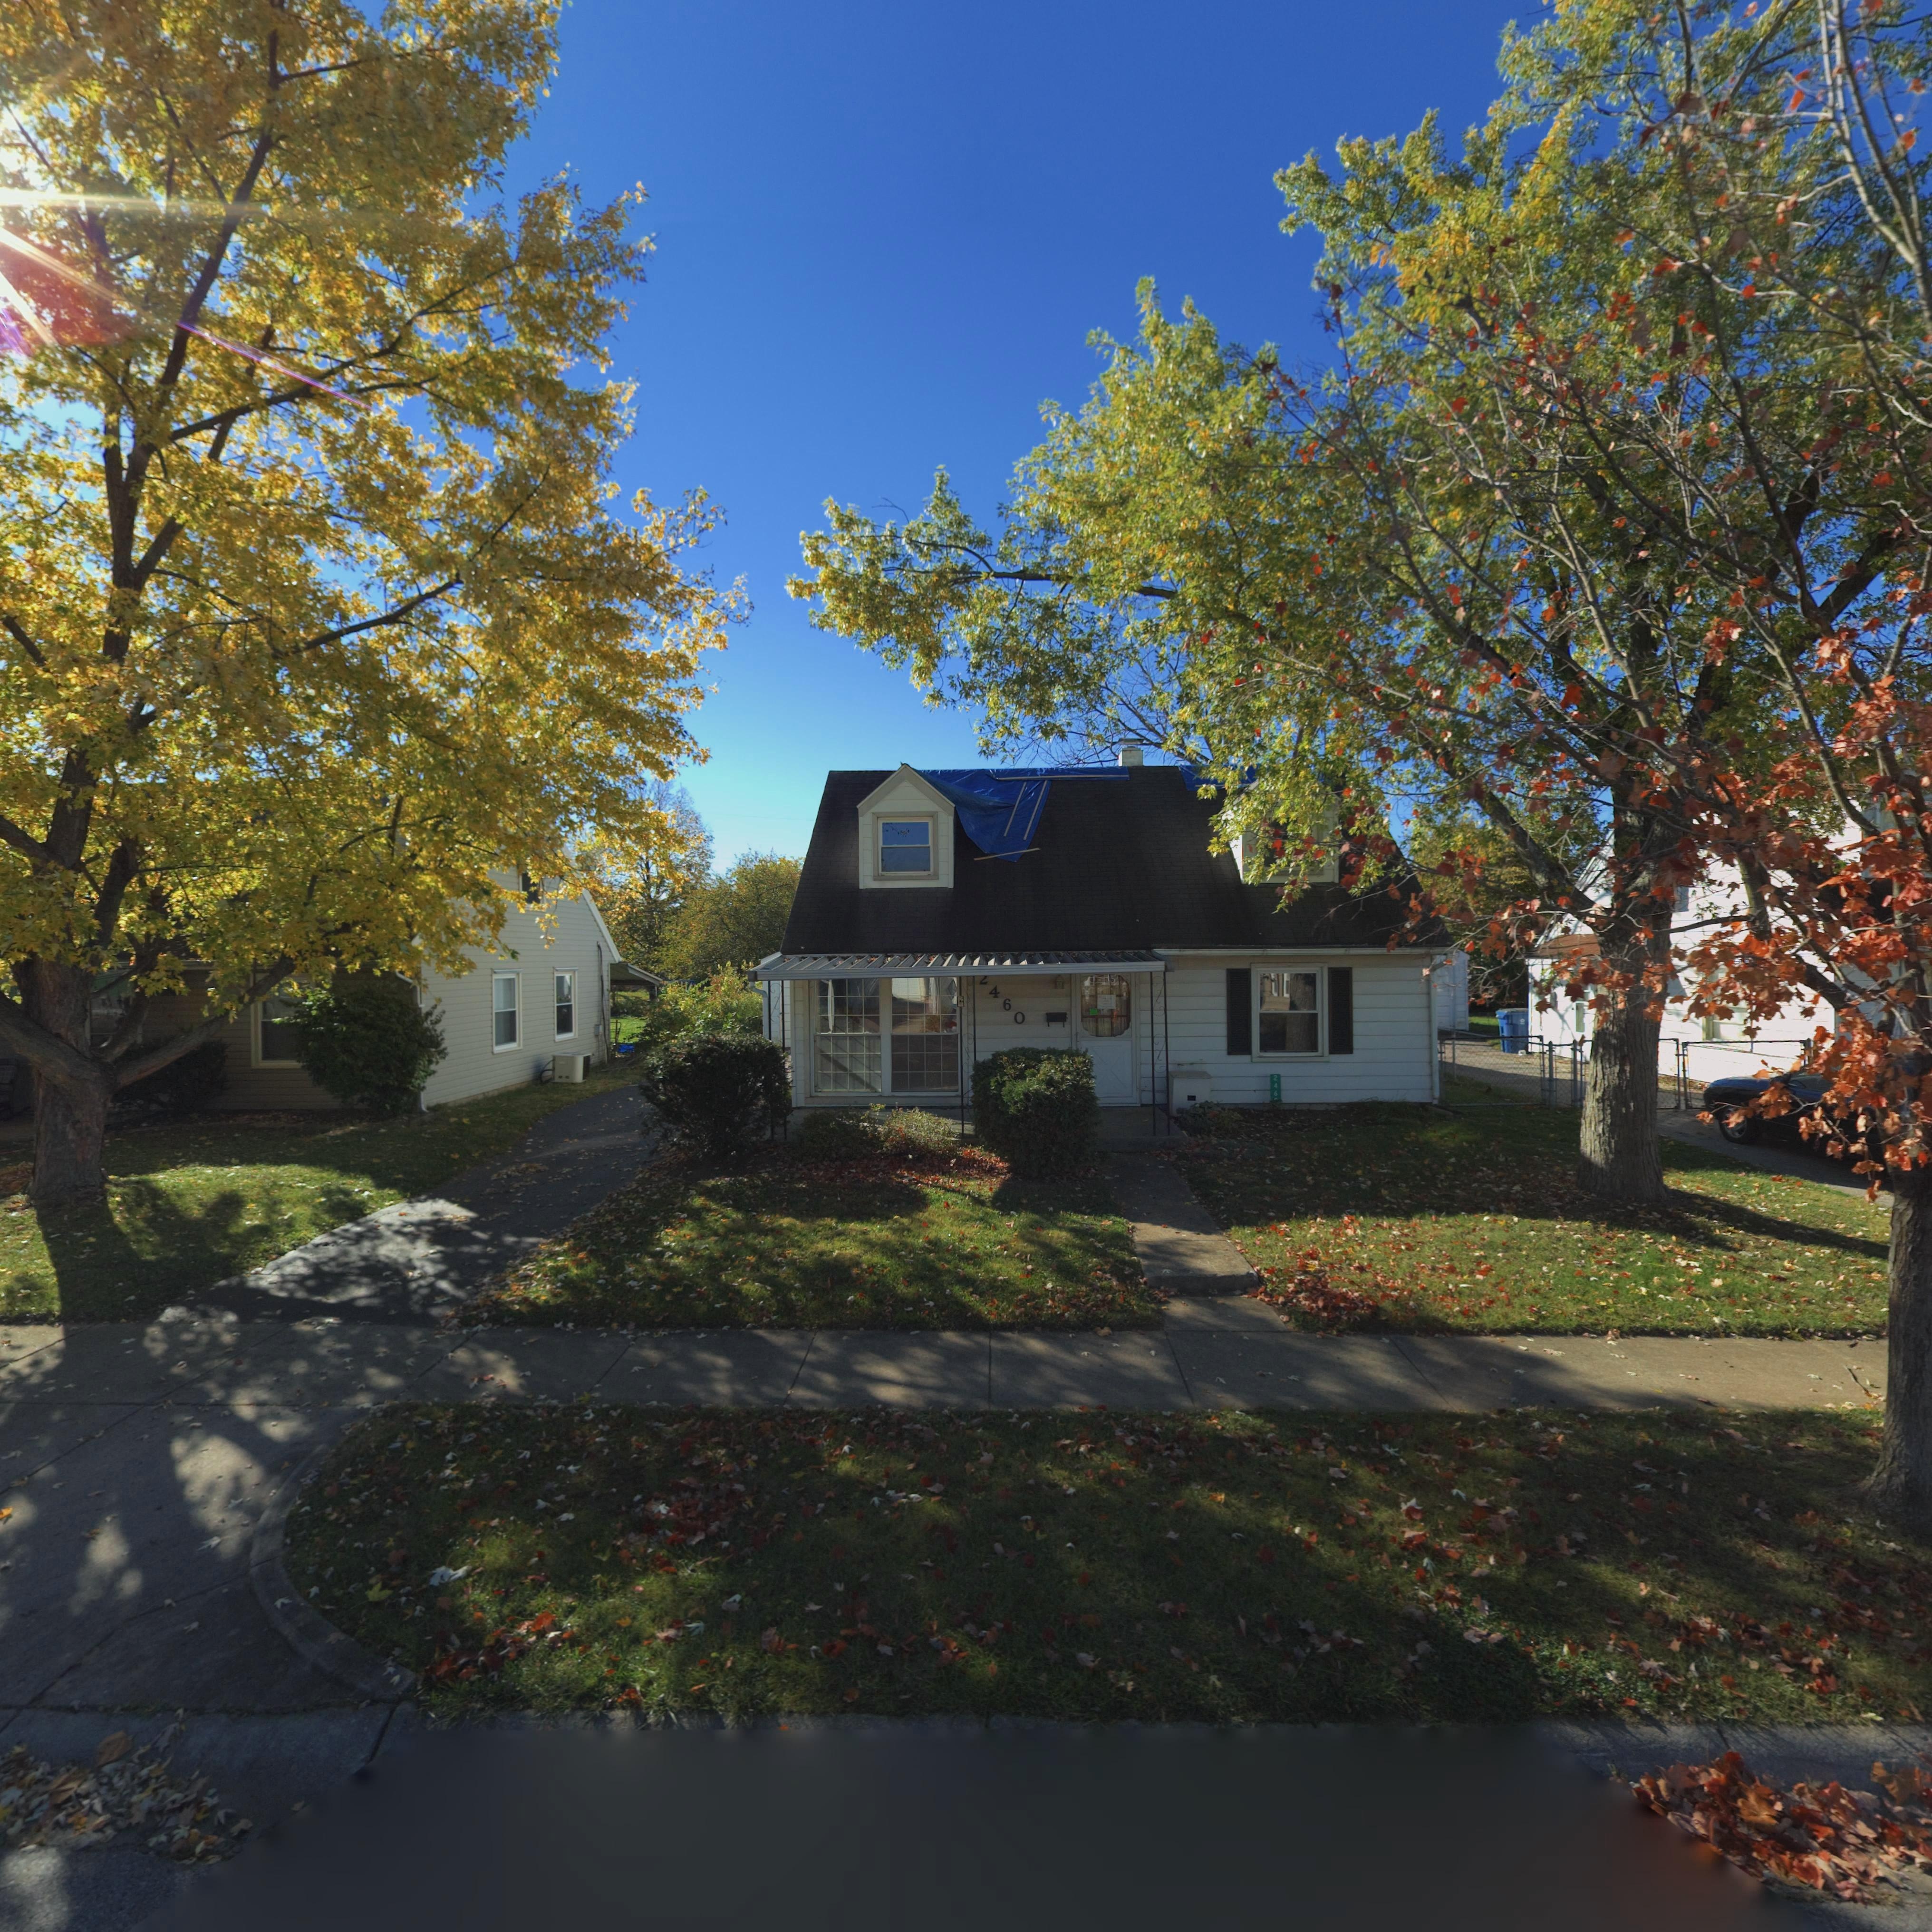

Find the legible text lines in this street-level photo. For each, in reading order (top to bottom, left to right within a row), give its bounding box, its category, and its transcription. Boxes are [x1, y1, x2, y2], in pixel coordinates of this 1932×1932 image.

[978, 974, 1025, 1024] StreetNumber: *460
[1273, 1074, 1278, 1101] StreetNumber: 246*